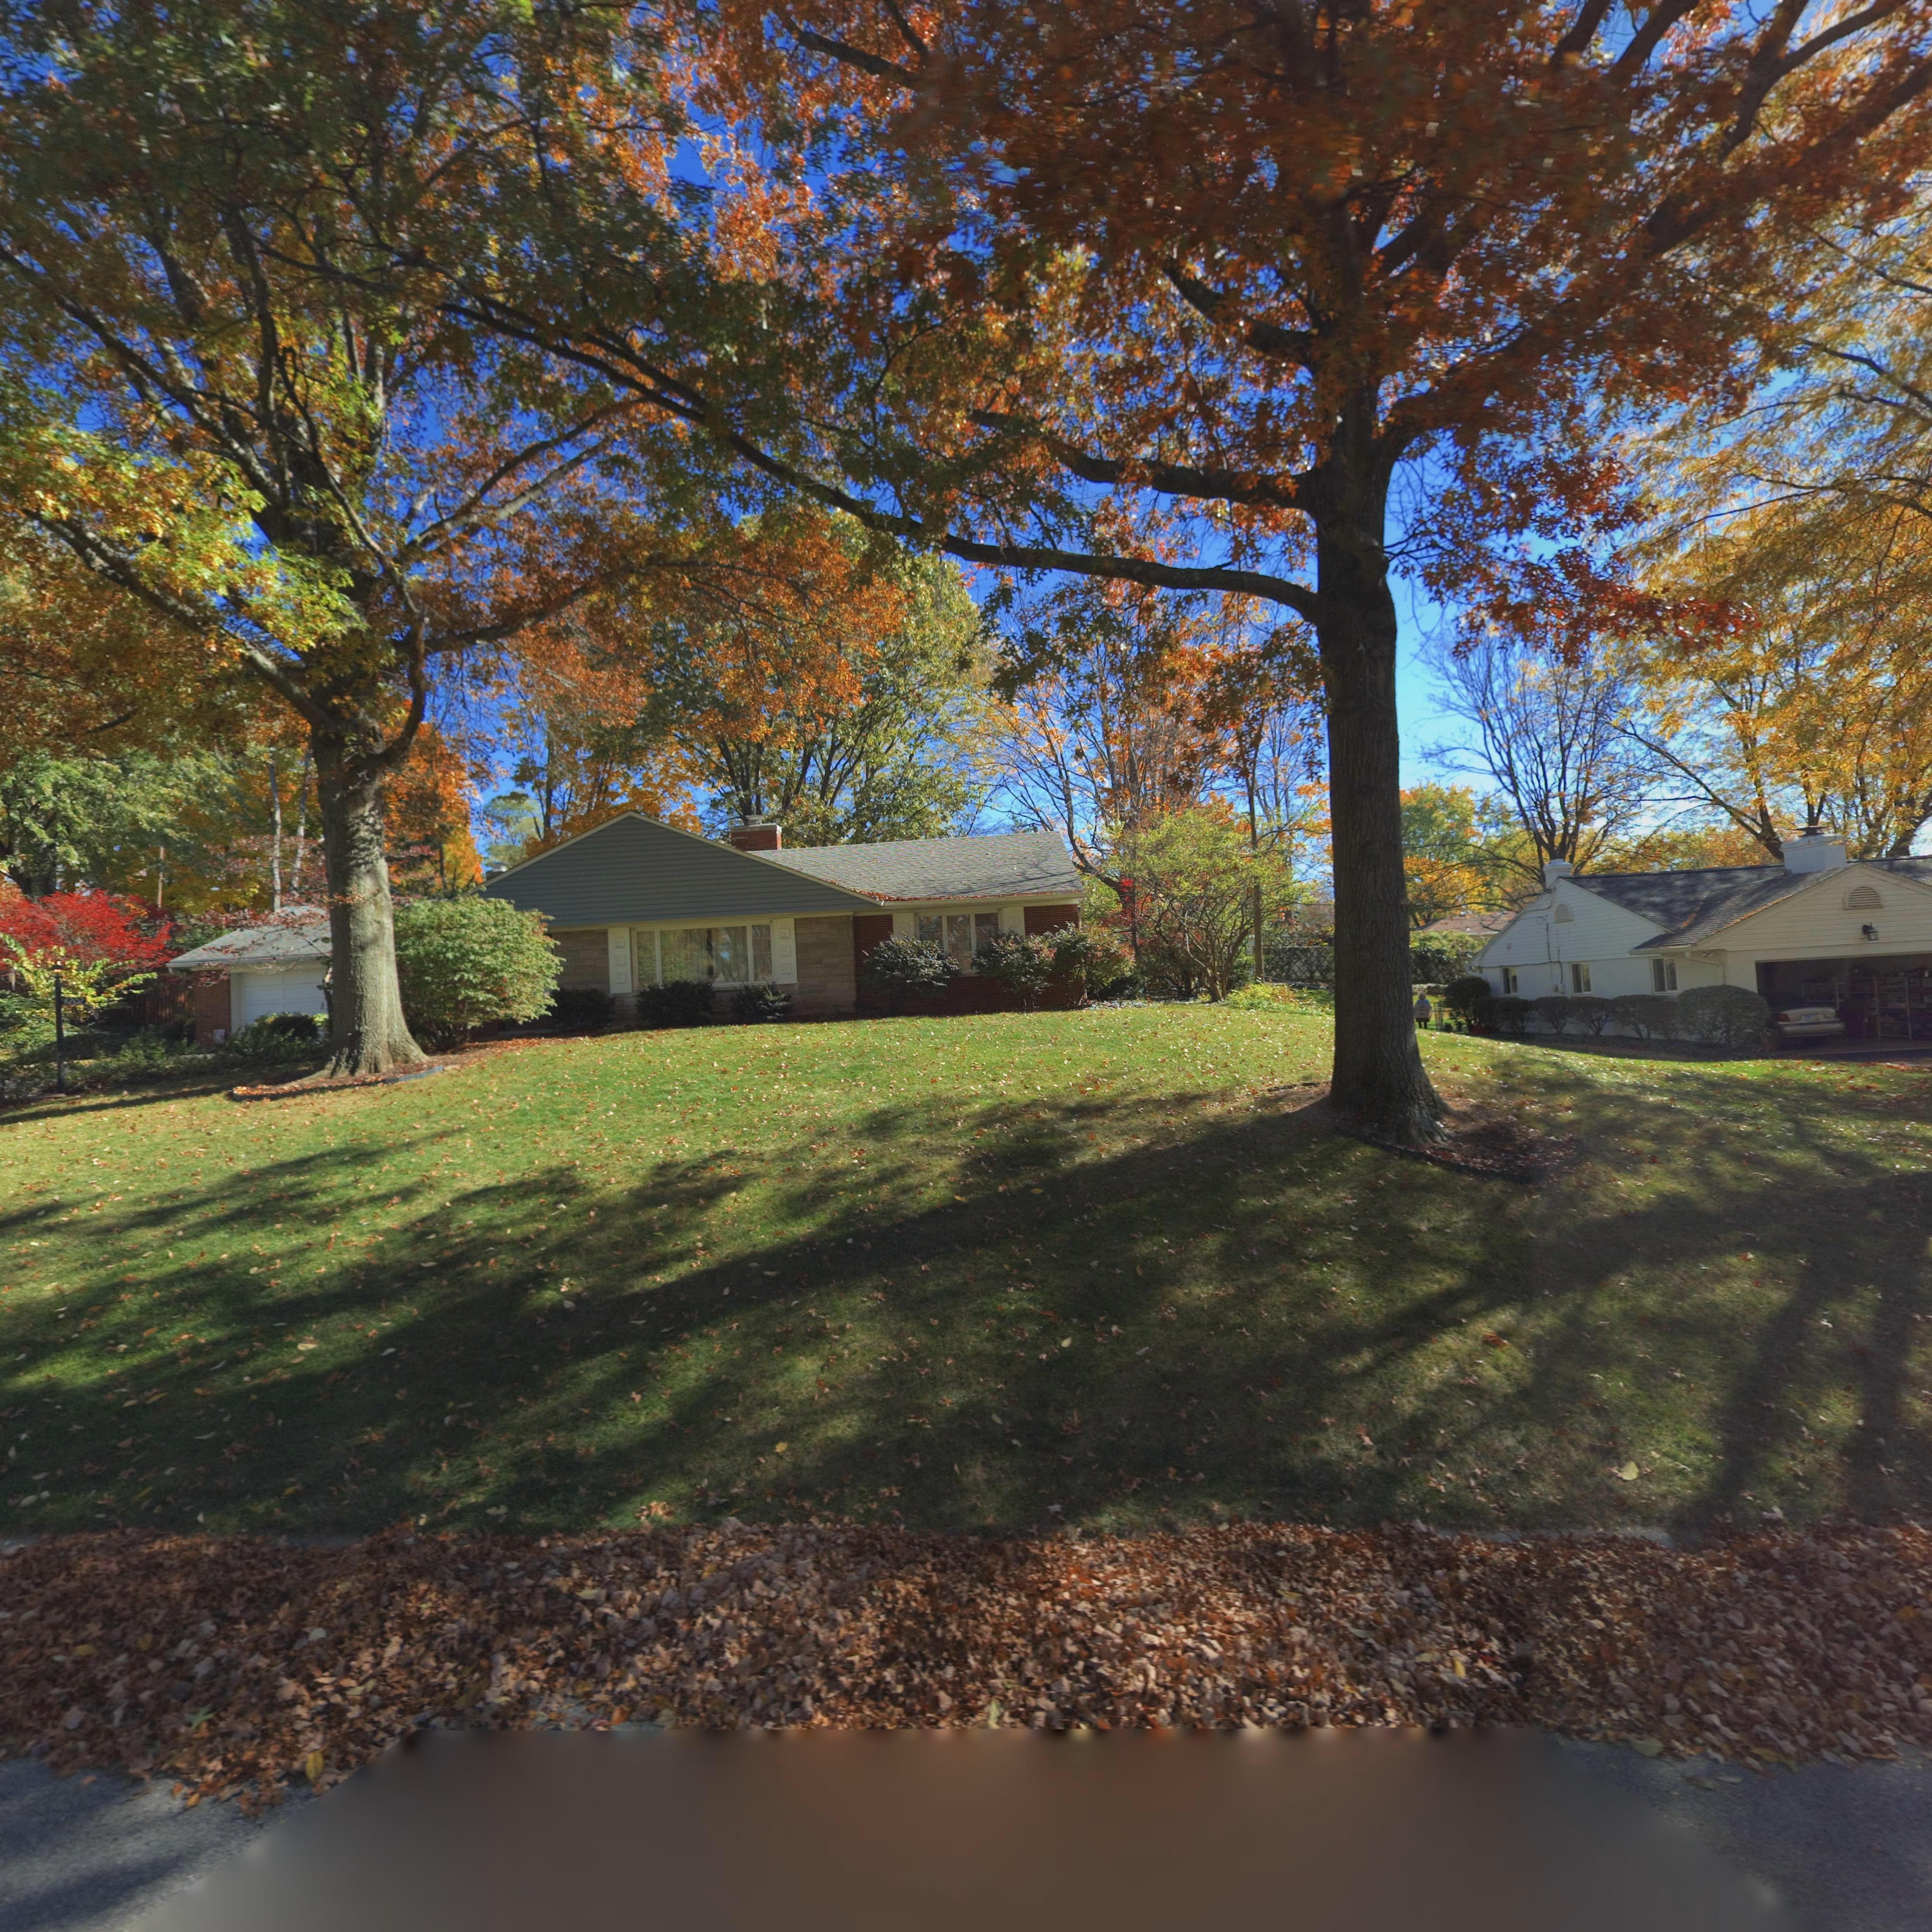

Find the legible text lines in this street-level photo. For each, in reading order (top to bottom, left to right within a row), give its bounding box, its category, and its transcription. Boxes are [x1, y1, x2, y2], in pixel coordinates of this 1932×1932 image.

[61, 997, 85, 1005] StreetNumber: 4202